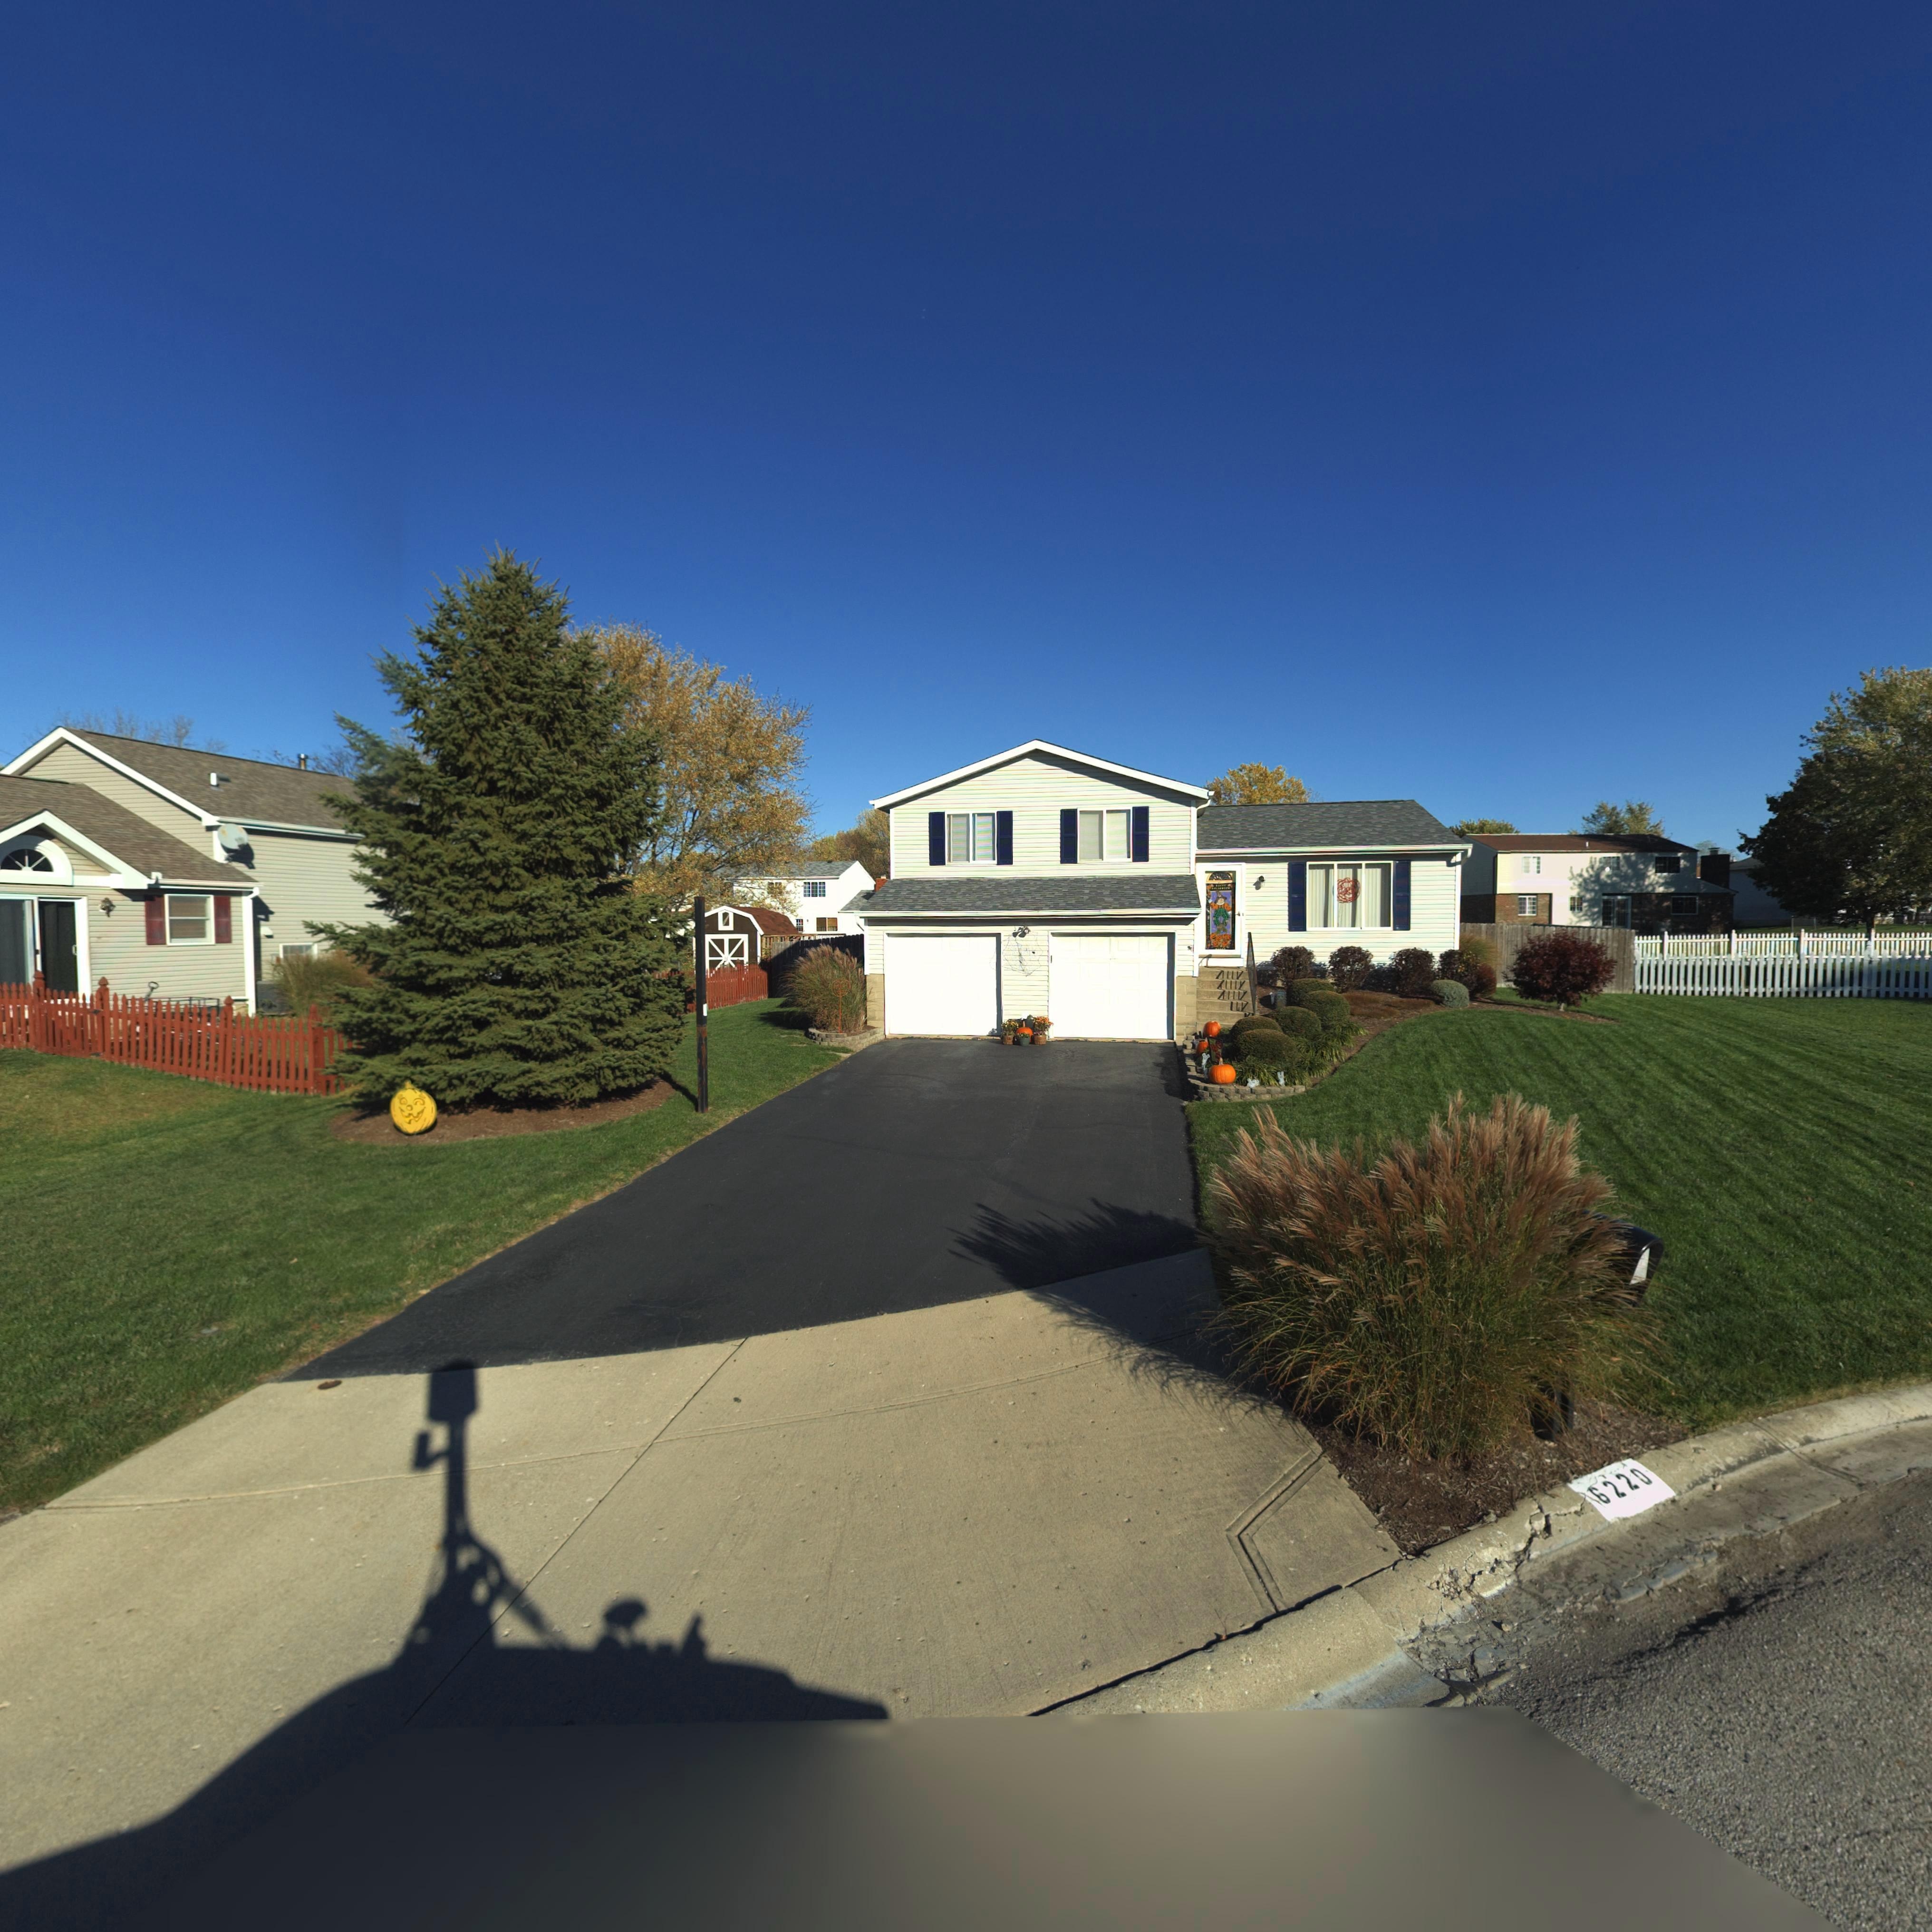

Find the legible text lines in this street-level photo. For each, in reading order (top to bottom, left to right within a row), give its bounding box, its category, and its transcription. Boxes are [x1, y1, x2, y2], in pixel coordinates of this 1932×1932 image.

[1584, 1465, 1655, 1507] StreetNumber: 6220